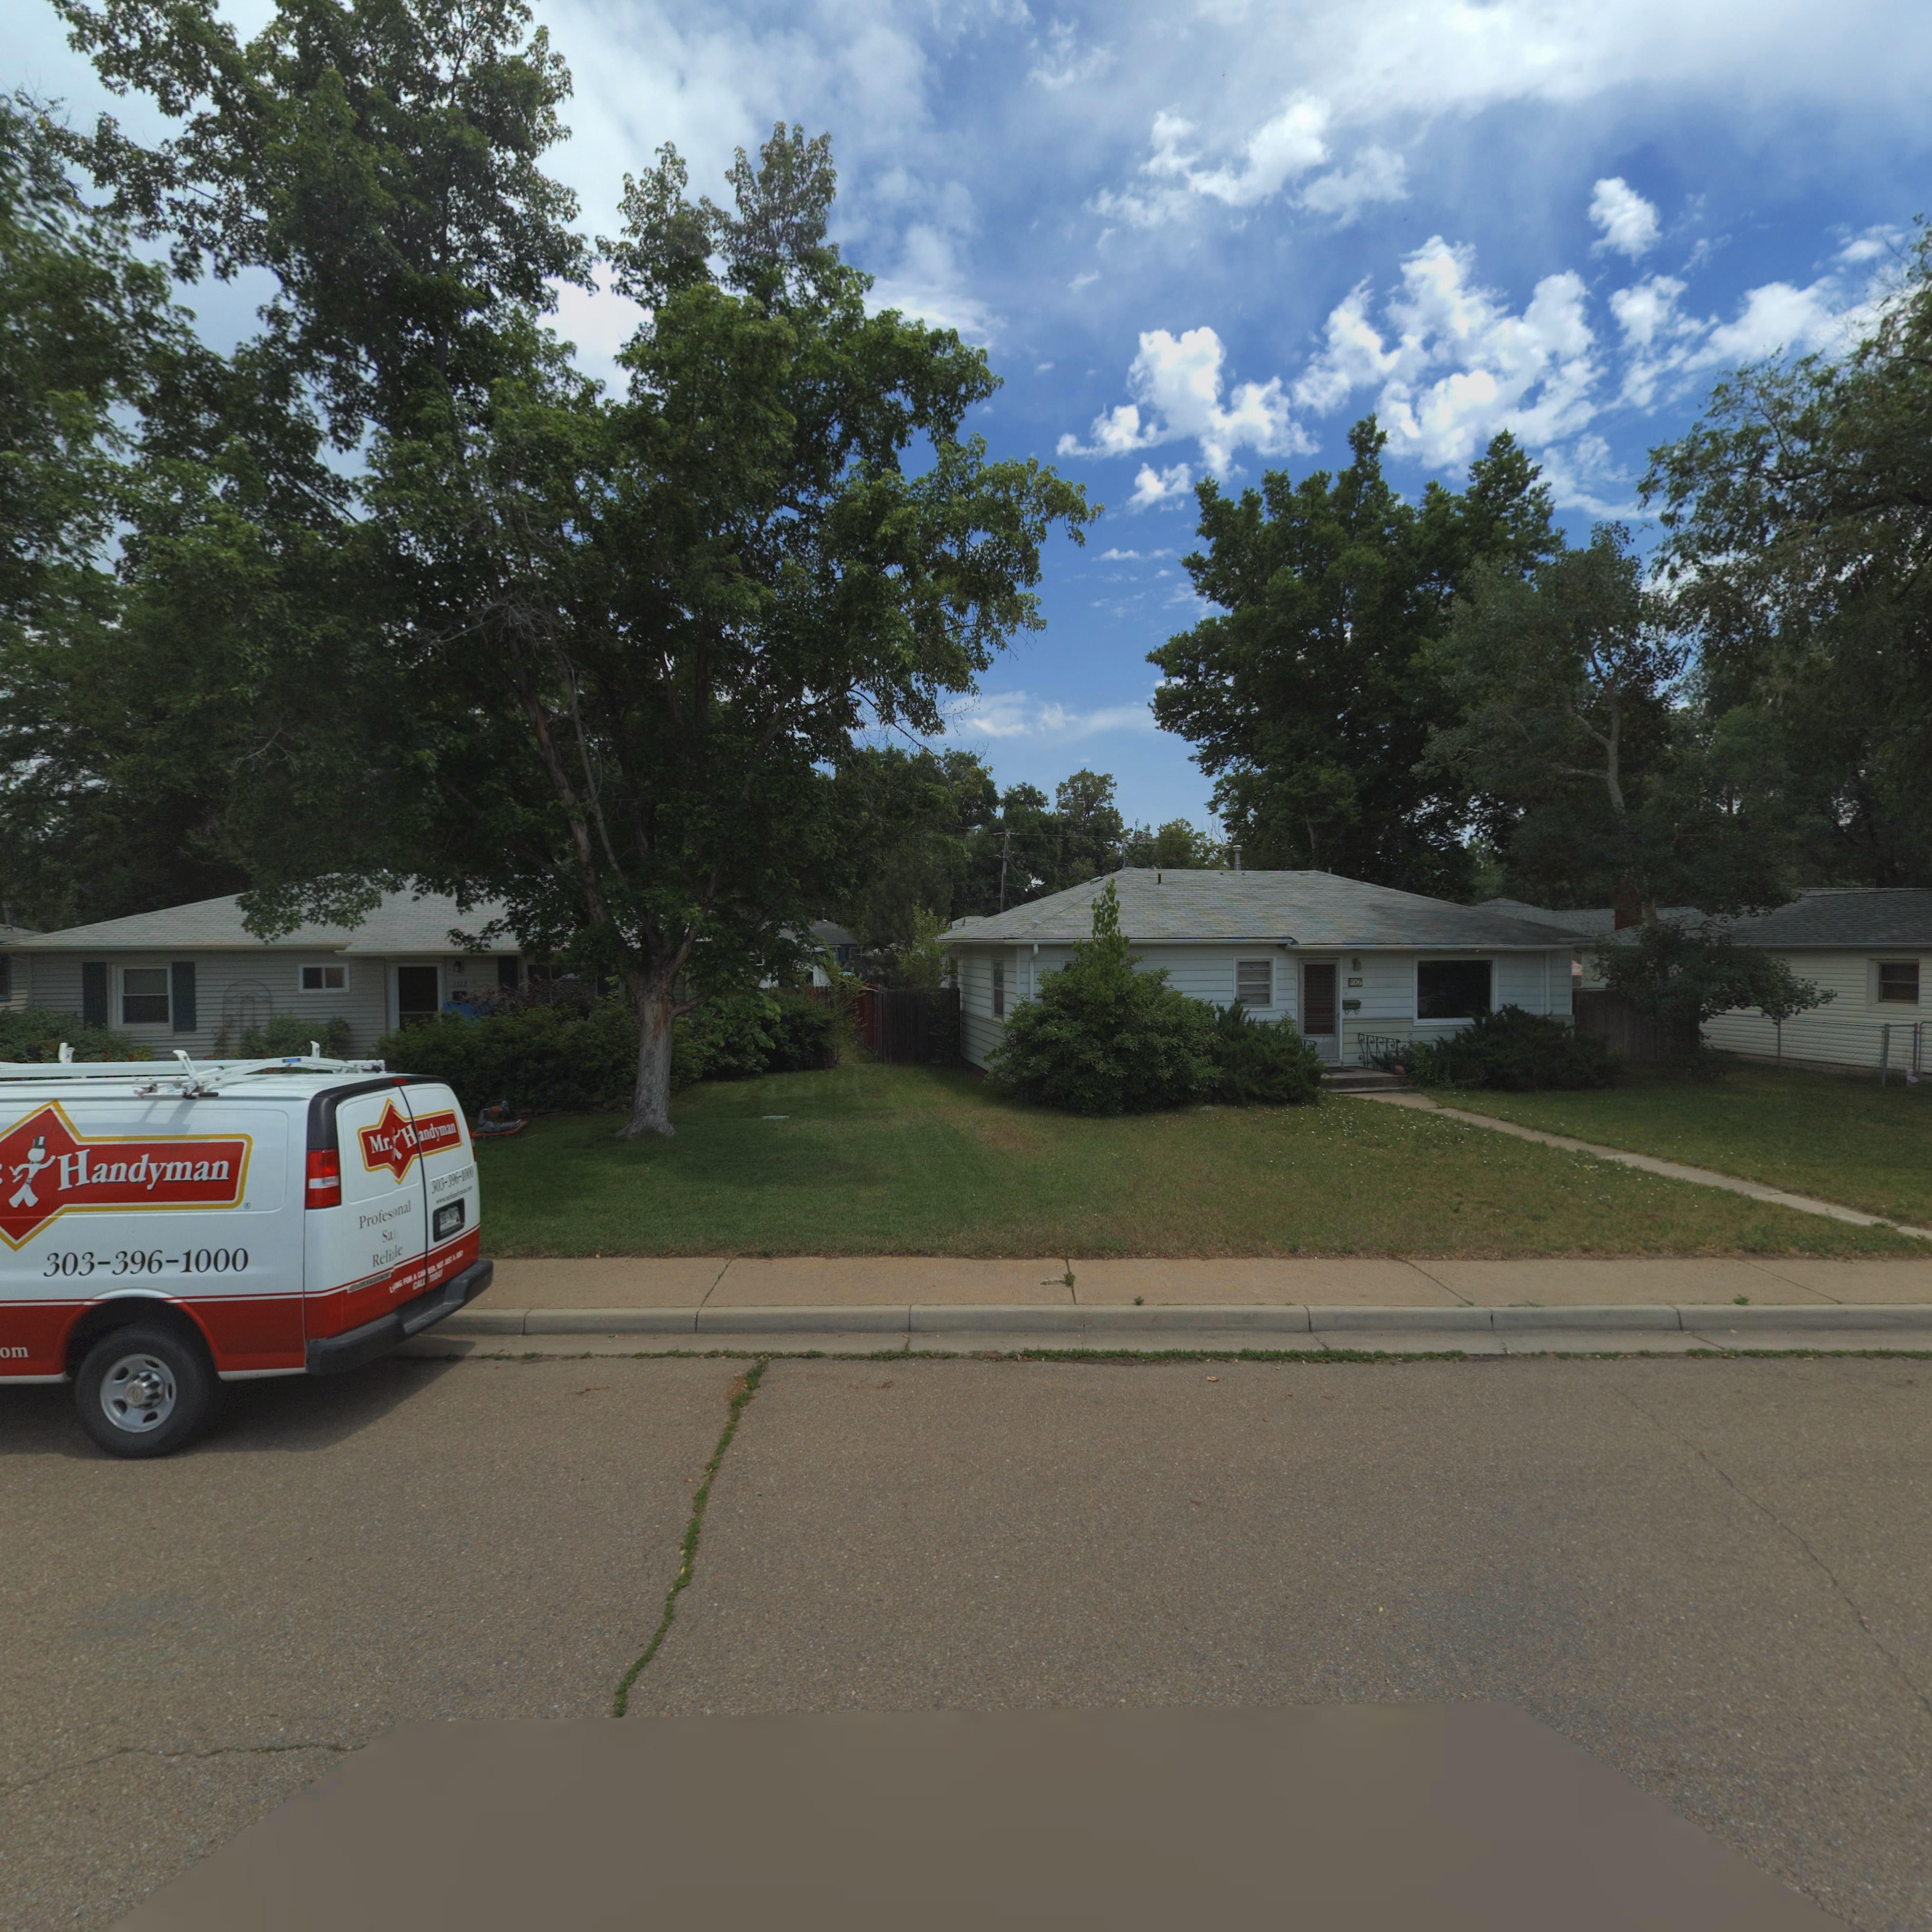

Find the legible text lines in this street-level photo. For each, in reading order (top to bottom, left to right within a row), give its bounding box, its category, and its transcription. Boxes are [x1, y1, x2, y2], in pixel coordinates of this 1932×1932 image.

[452, 980, 468, 988] StreetNumber: 1112
[1349, 978, 1362, 986] StreetNumber: 1106